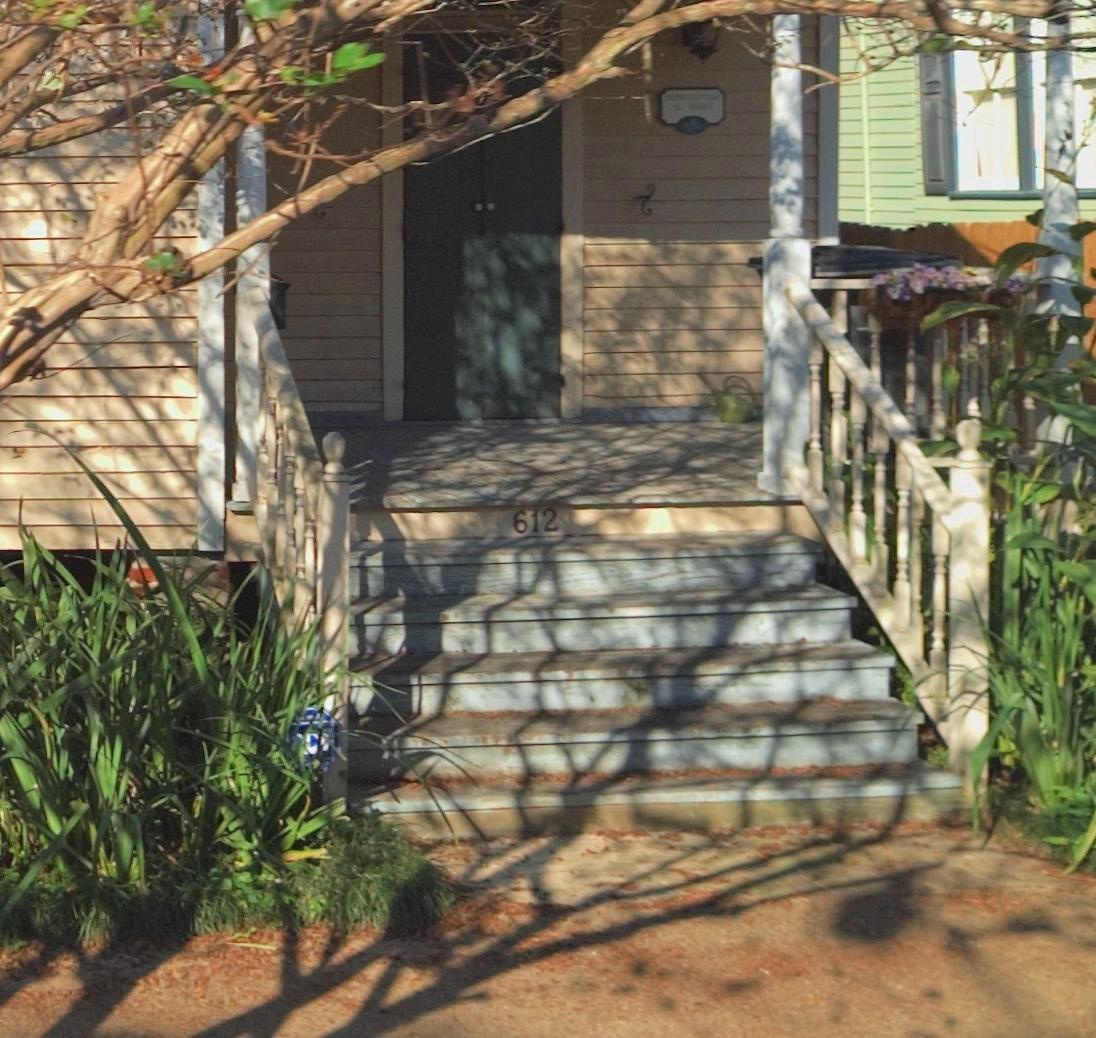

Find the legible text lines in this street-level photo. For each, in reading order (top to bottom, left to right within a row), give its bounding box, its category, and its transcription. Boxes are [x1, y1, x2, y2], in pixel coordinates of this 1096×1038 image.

[511, 504, 561, 537] StreetNumber: 612